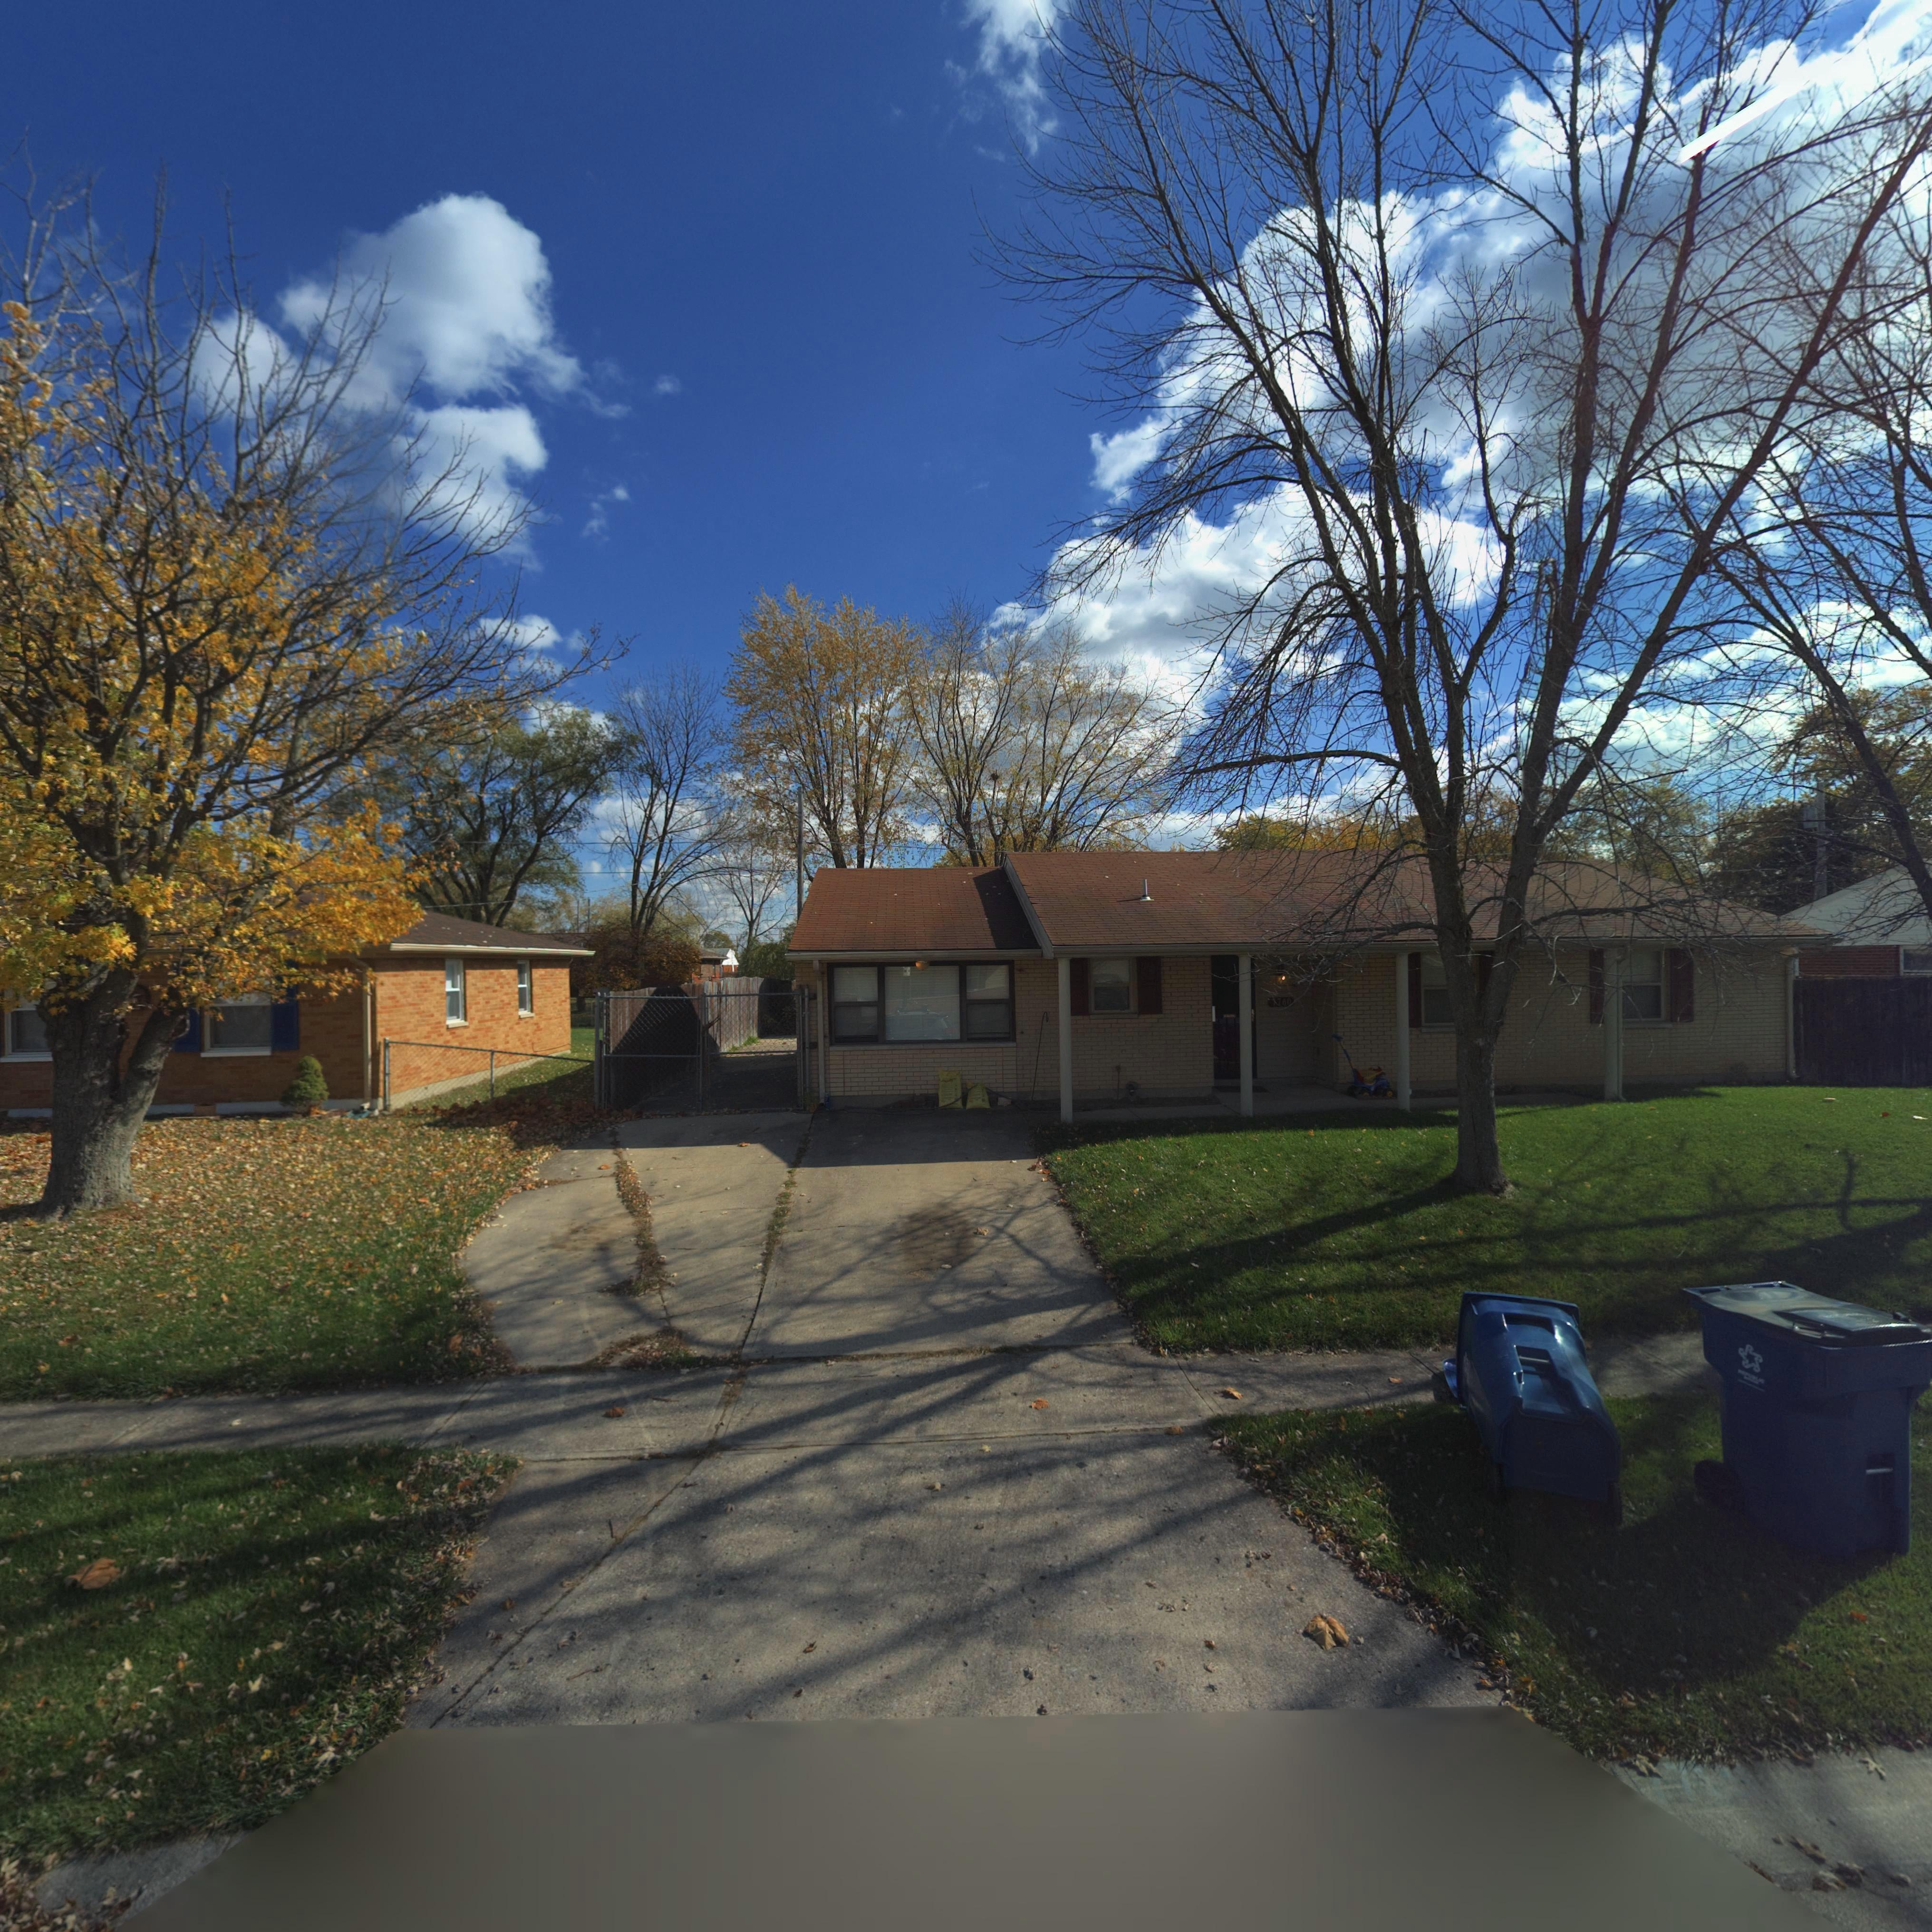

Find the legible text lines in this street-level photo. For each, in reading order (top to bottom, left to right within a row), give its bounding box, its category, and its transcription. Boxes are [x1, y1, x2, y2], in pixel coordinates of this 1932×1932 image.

[1270, 997, 1292, 1007] StreetNumber: 7760